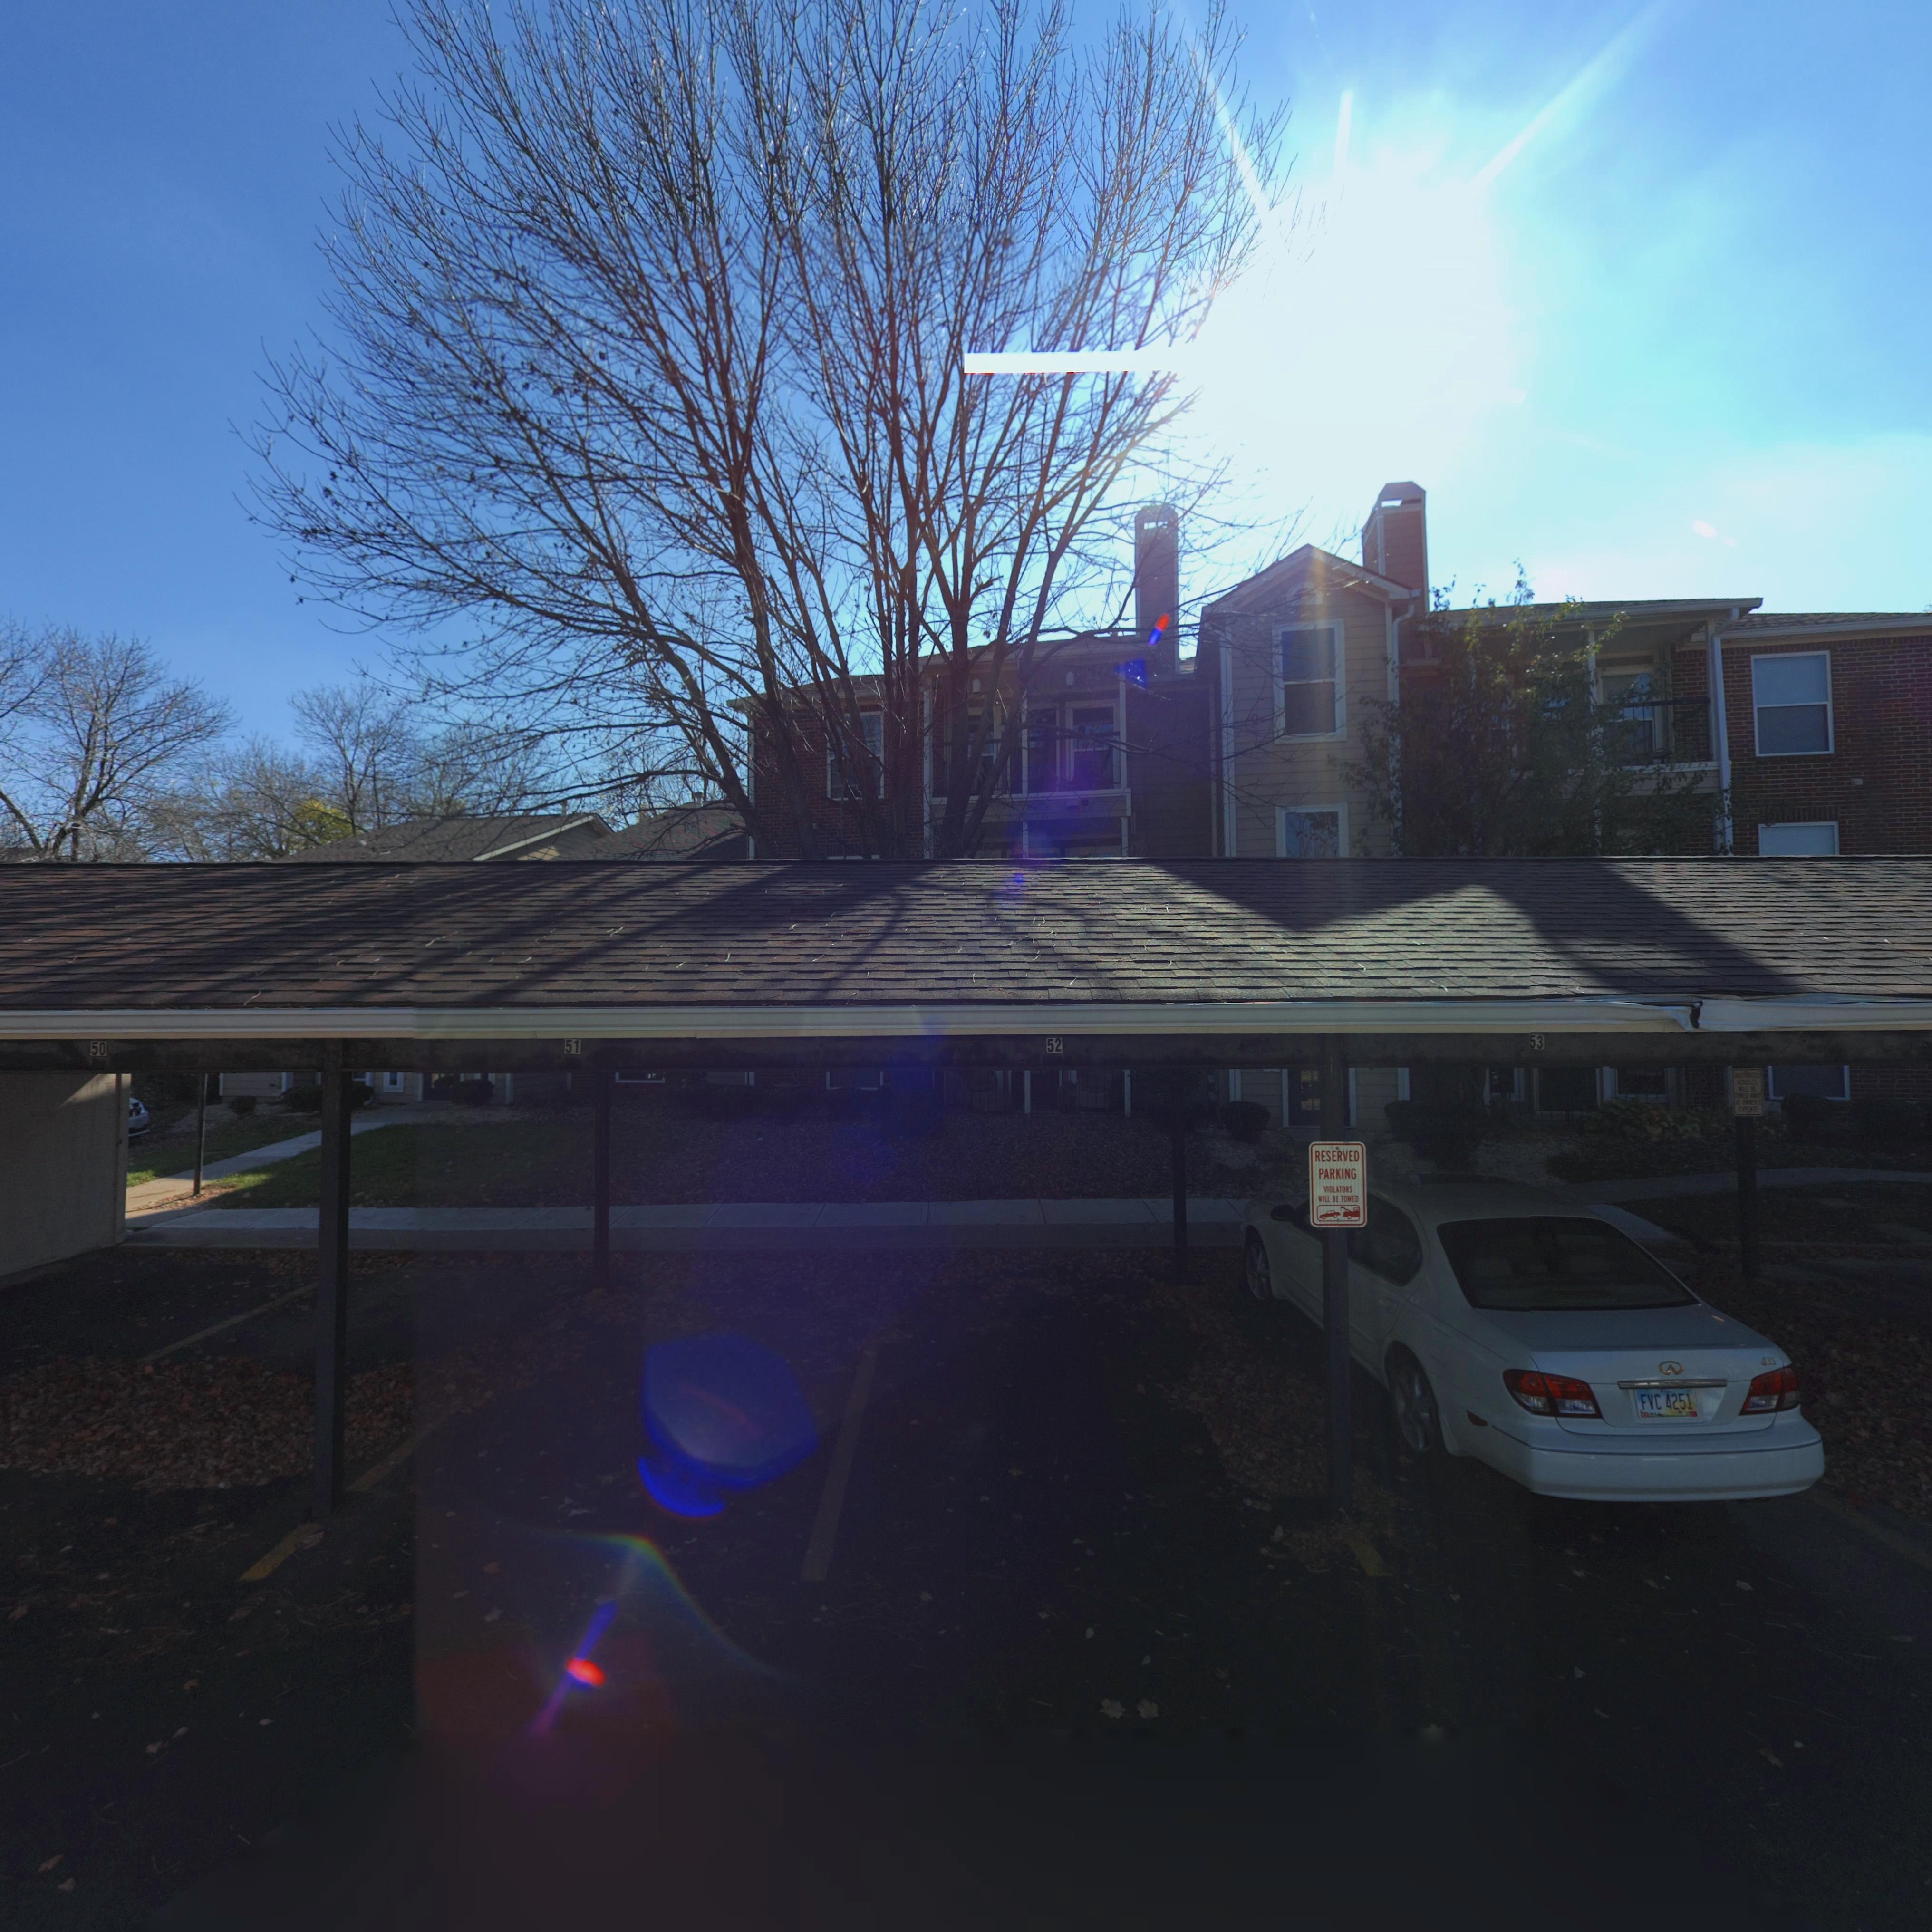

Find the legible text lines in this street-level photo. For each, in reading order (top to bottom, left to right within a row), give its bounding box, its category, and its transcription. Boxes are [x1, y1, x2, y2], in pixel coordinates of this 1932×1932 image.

[89, 1040, 108, 1057] StreetNumber: 50
[564, 1038, 580, 1055] StreetNumber: 51
[1046, 1036, 1063, 1054] StreetNumber: 52
[1529, 1033, 1545, 1051] StreetNumber: 53
[1313, 1149, 1362, 1164] None: RESERVED
[1317, 1166, 1358, 1181] None: PARKING
[1322, 1184, 1354, 1194] None: VIOLATORS
[1316, 1194, 1360, 1204] None: WILL BE TOWED
[1638, 1391, 1696, 1413] None: FVC 4251